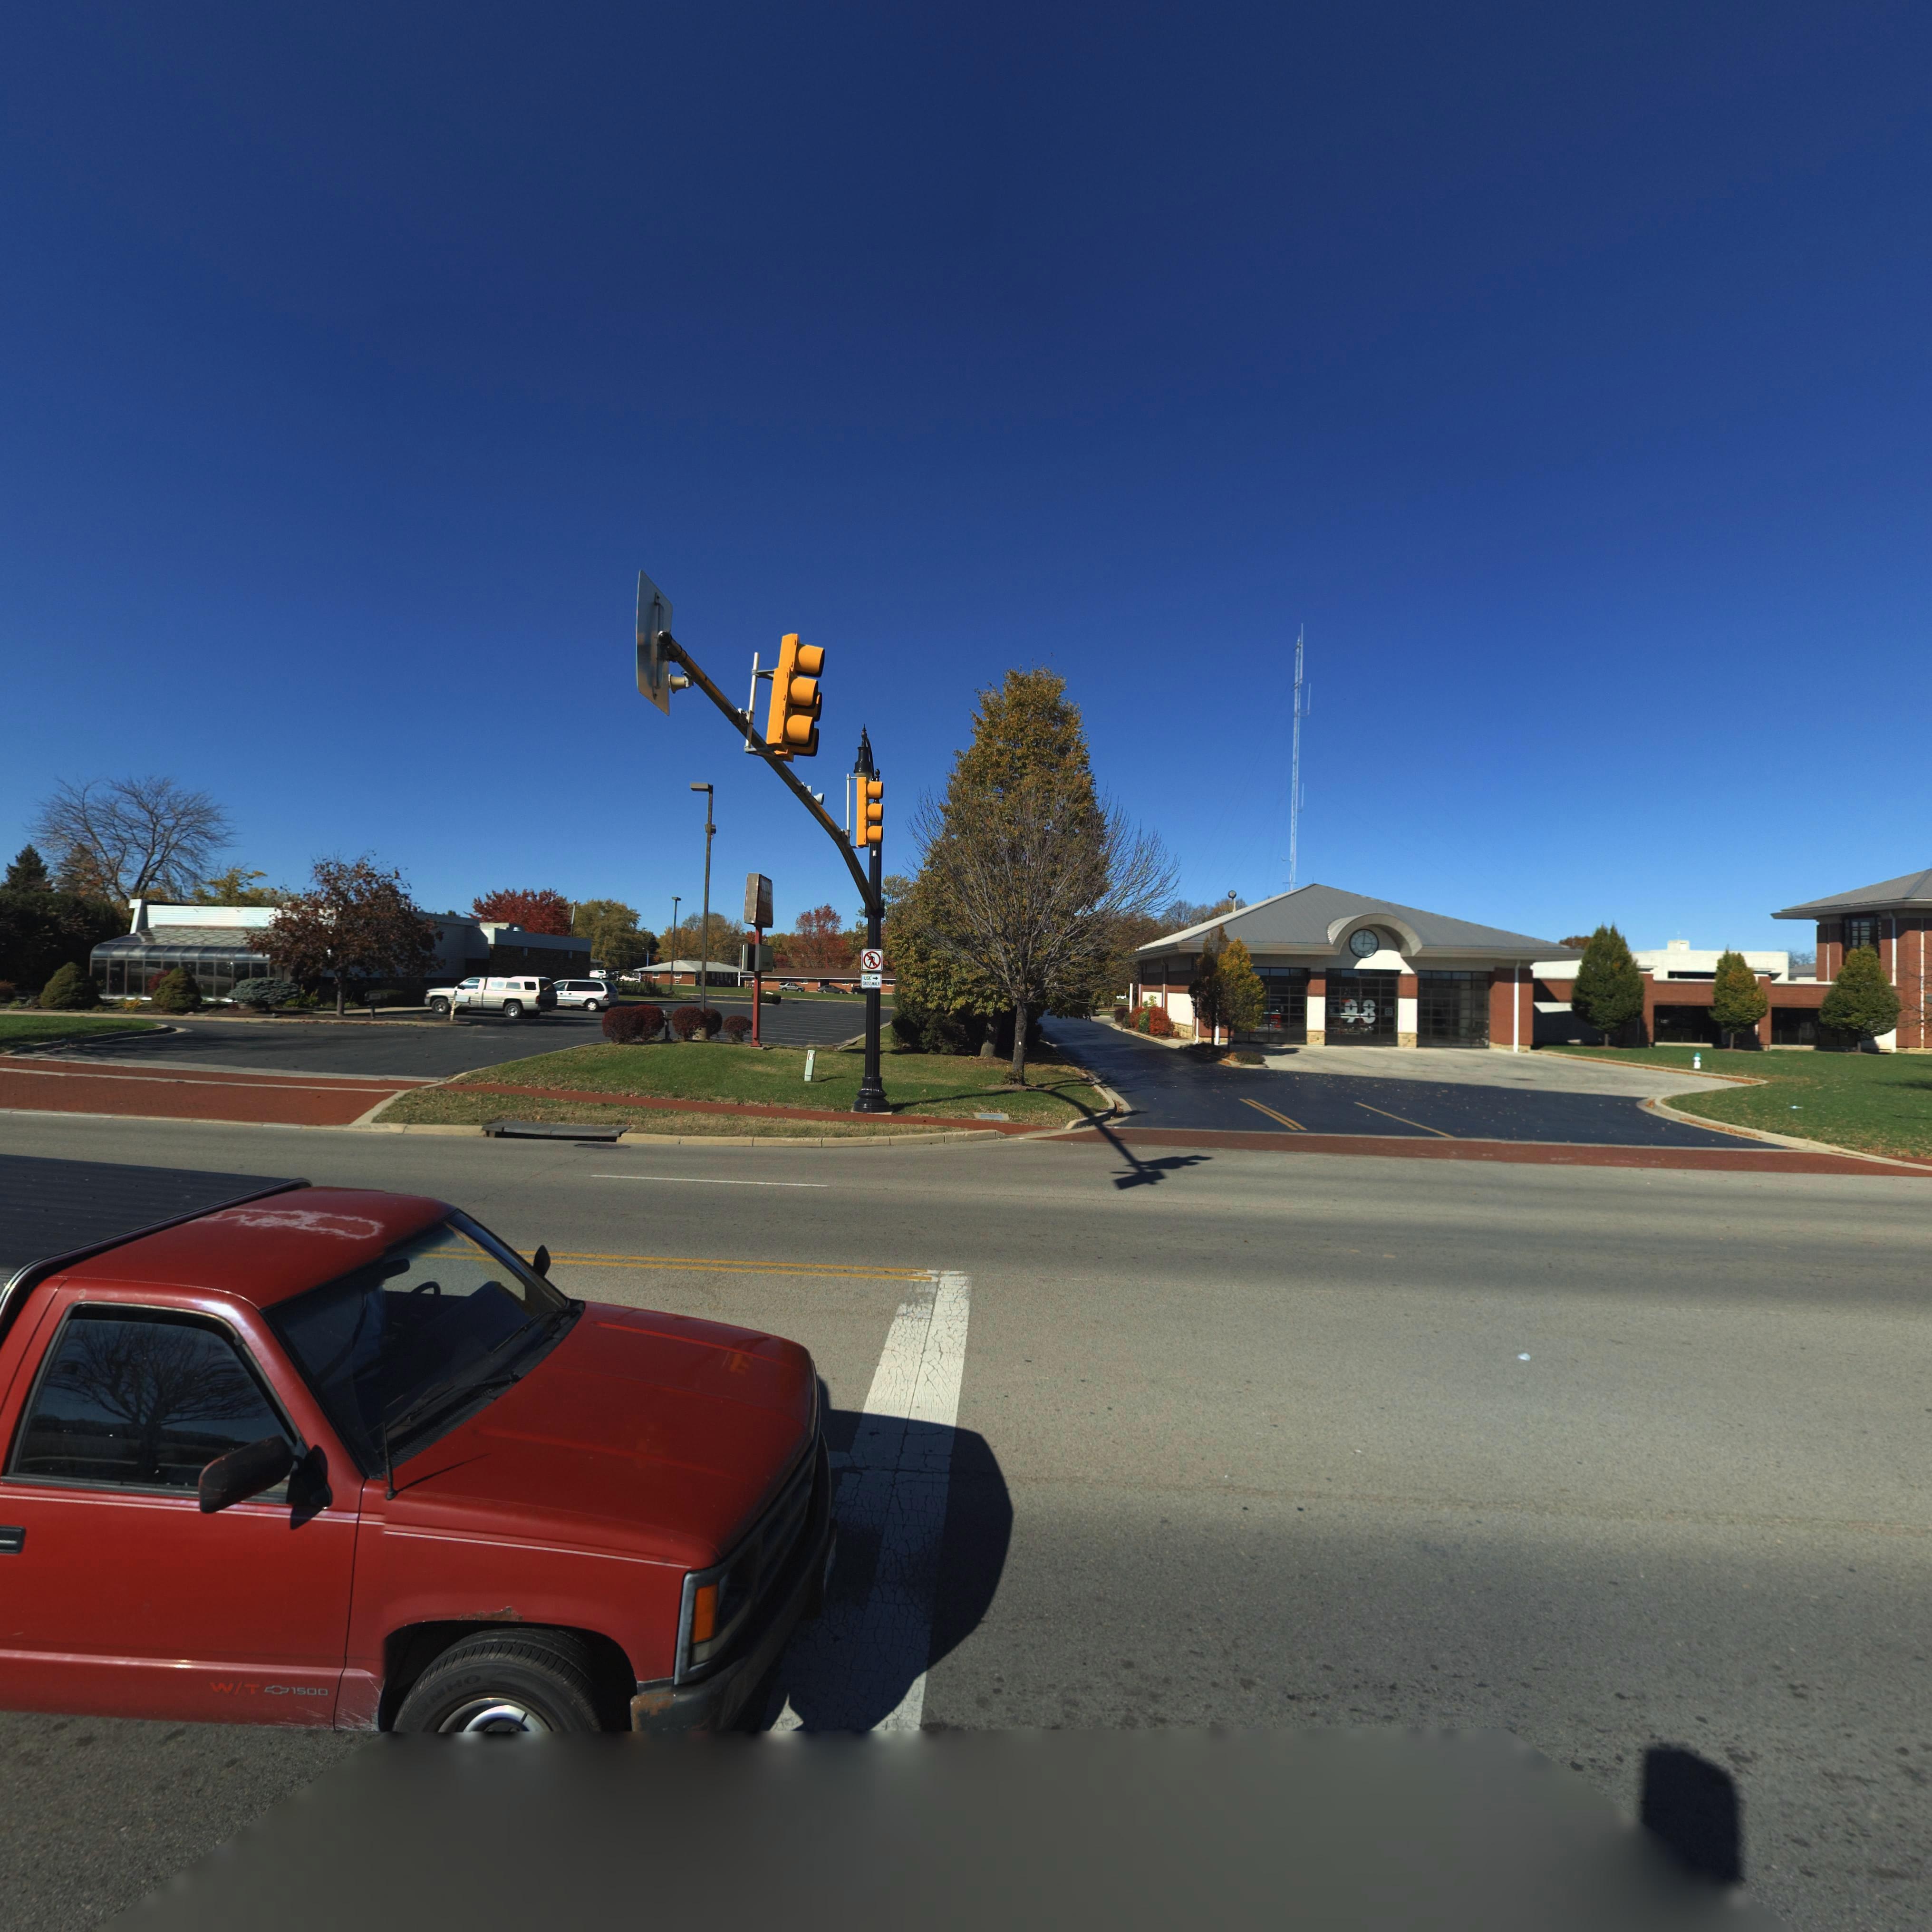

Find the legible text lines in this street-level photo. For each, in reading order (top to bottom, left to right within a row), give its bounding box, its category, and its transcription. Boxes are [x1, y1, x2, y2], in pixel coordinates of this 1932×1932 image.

[863, 976, 872, 981] None: USE
[861, 981, 880, 986] None: CORSSWALK
[449, 999, 457, 1017] StreetNumber: 375
[1343, 998, 1376, 1024] None: 98